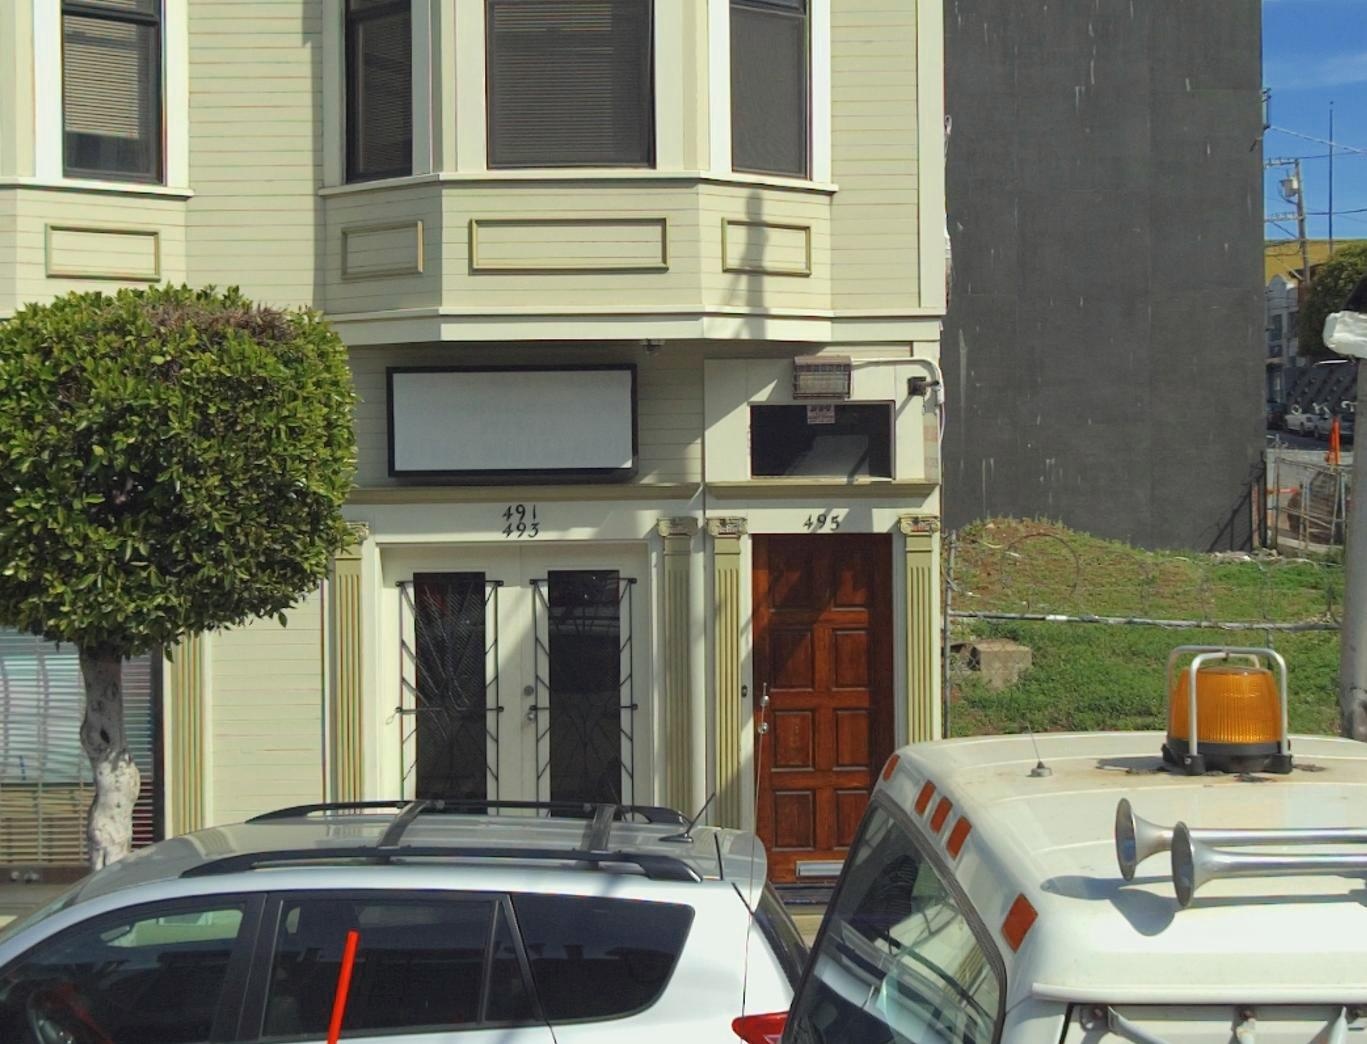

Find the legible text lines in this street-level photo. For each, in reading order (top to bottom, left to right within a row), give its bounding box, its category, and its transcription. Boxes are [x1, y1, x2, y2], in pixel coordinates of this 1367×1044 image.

[498, 502, 542, 523] StreetNumber: 491
[498, 519, 545, 542] StreetNumber: 493
[793, 512, 843, 534] StreetNumber: 495